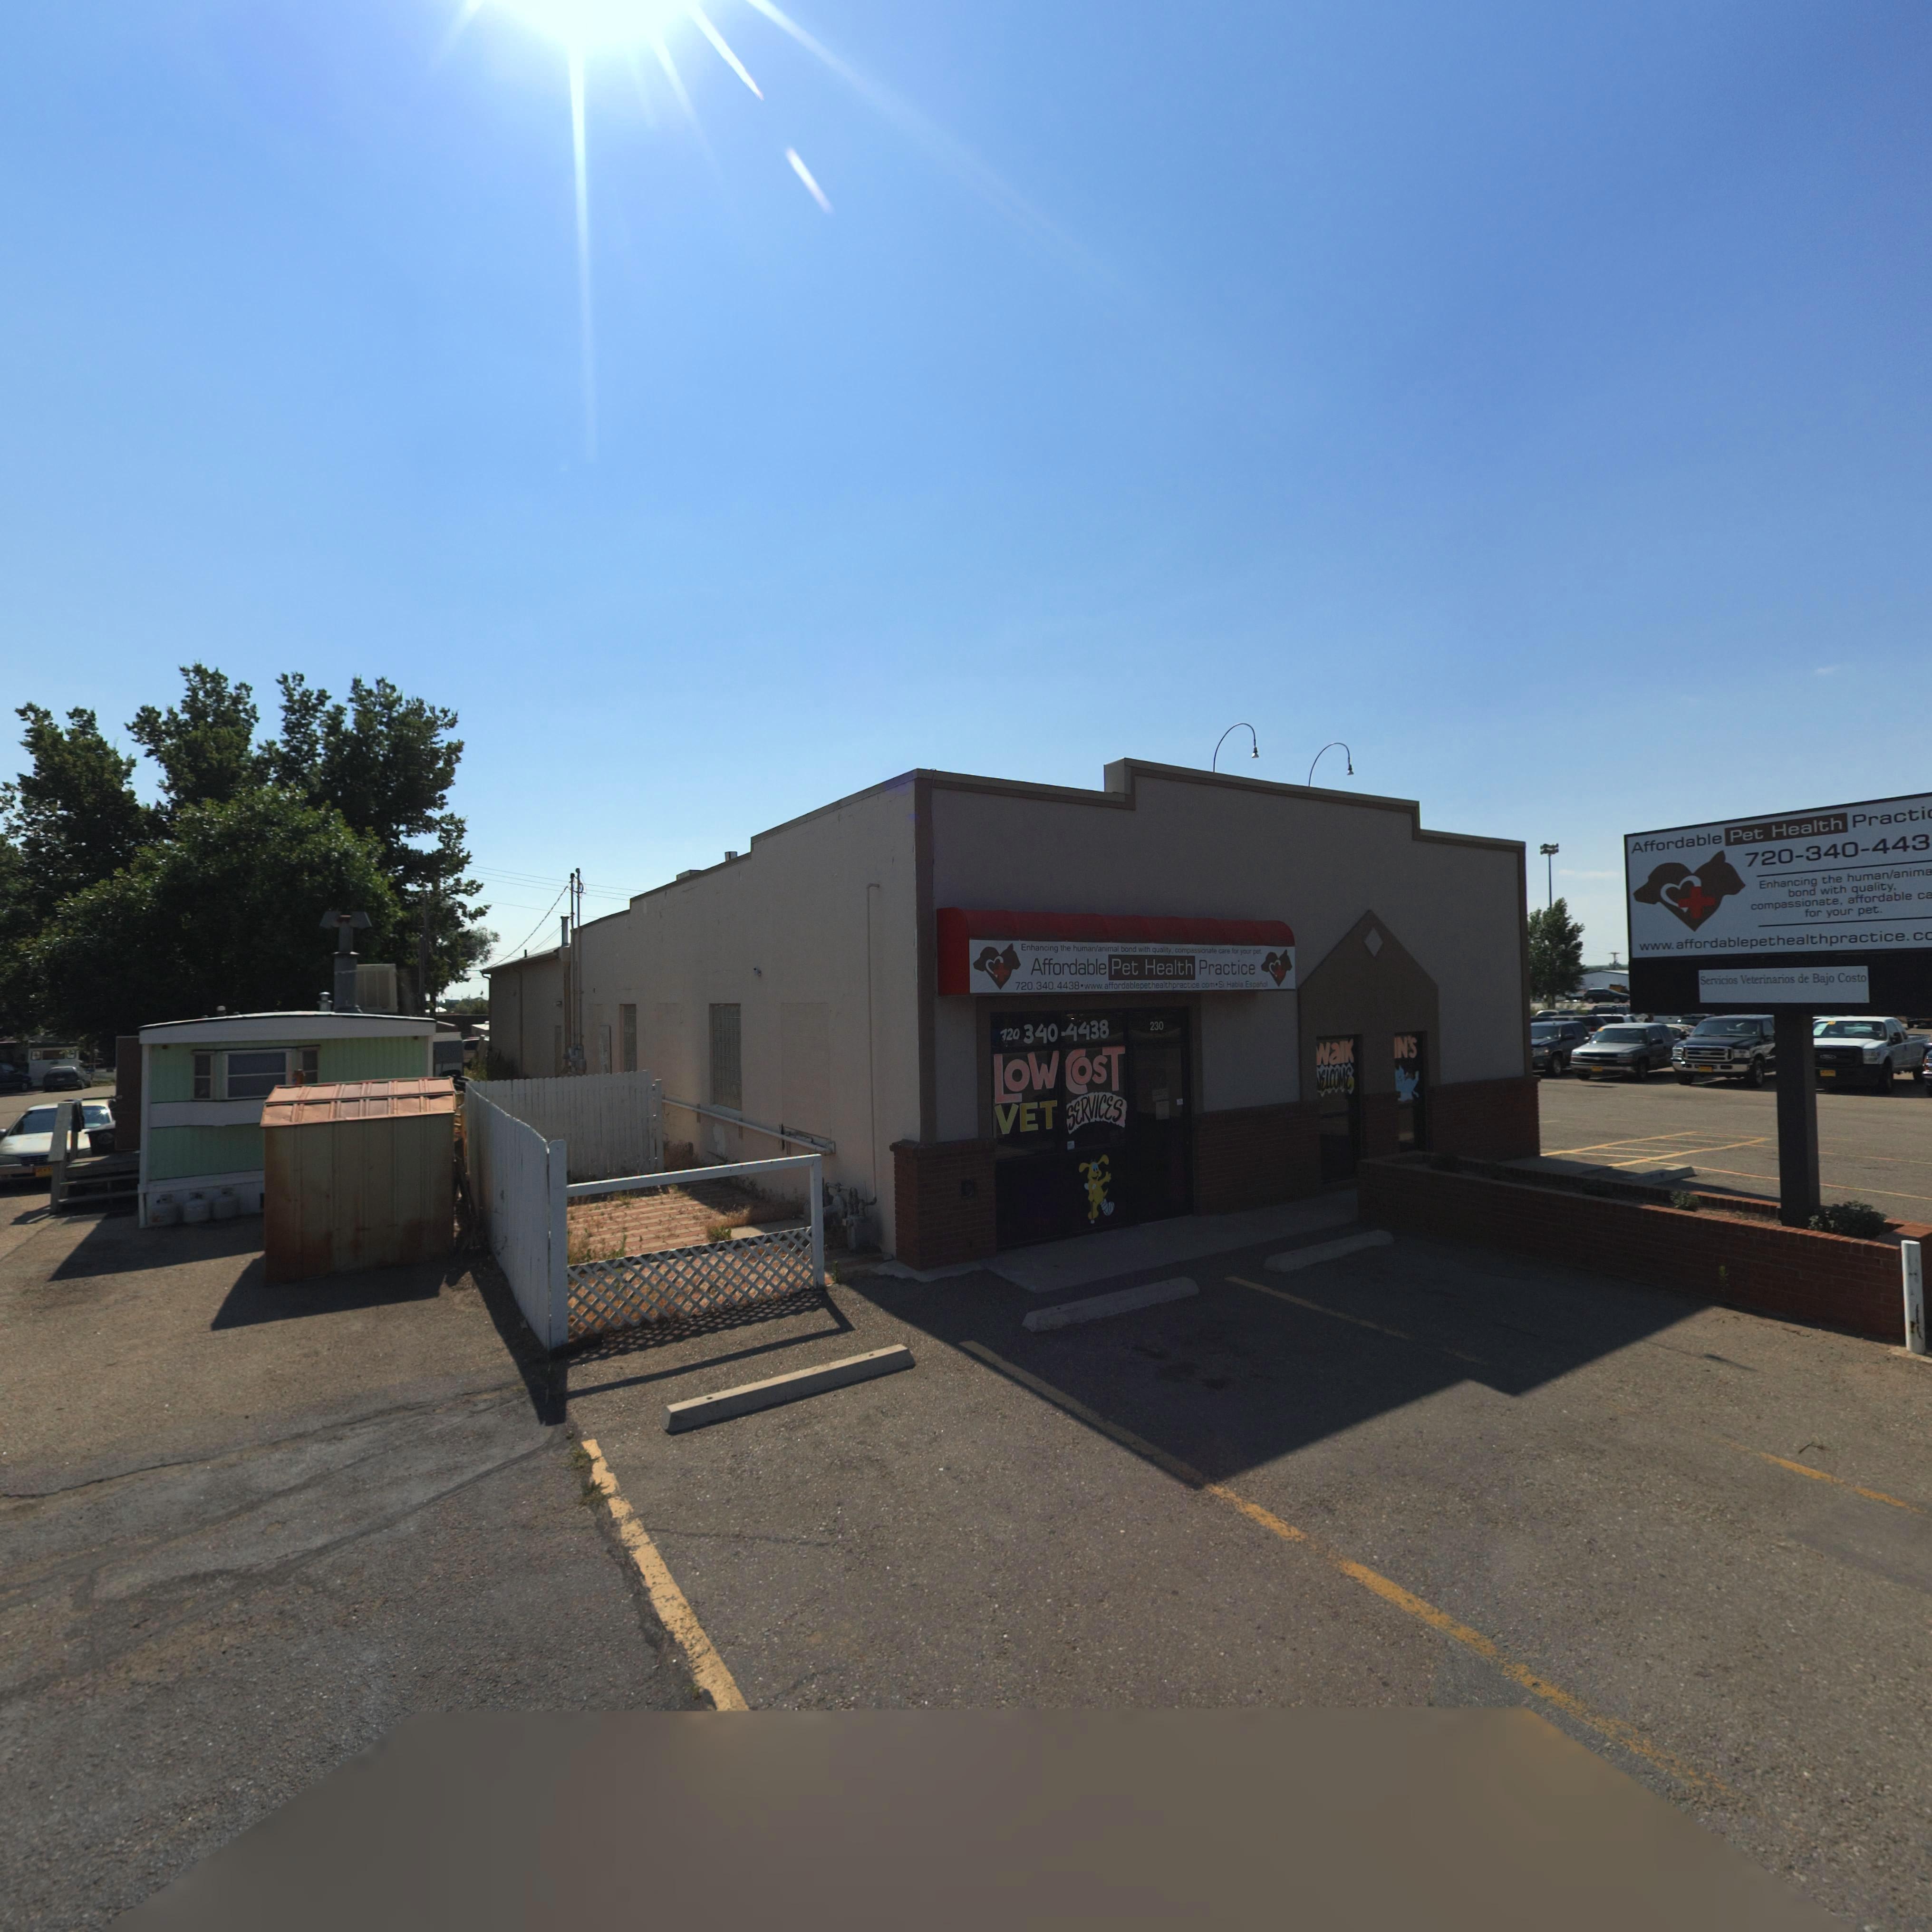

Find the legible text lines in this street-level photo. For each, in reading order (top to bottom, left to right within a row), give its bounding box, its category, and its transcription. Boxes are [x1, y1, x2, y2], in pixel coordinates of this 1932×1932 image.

[1629, 805, 1927, 854] BusinessName: Affordable Pet Health Practi
[1030, 957, 1257, 976] BusinessName: Affordable Pet Health Practice